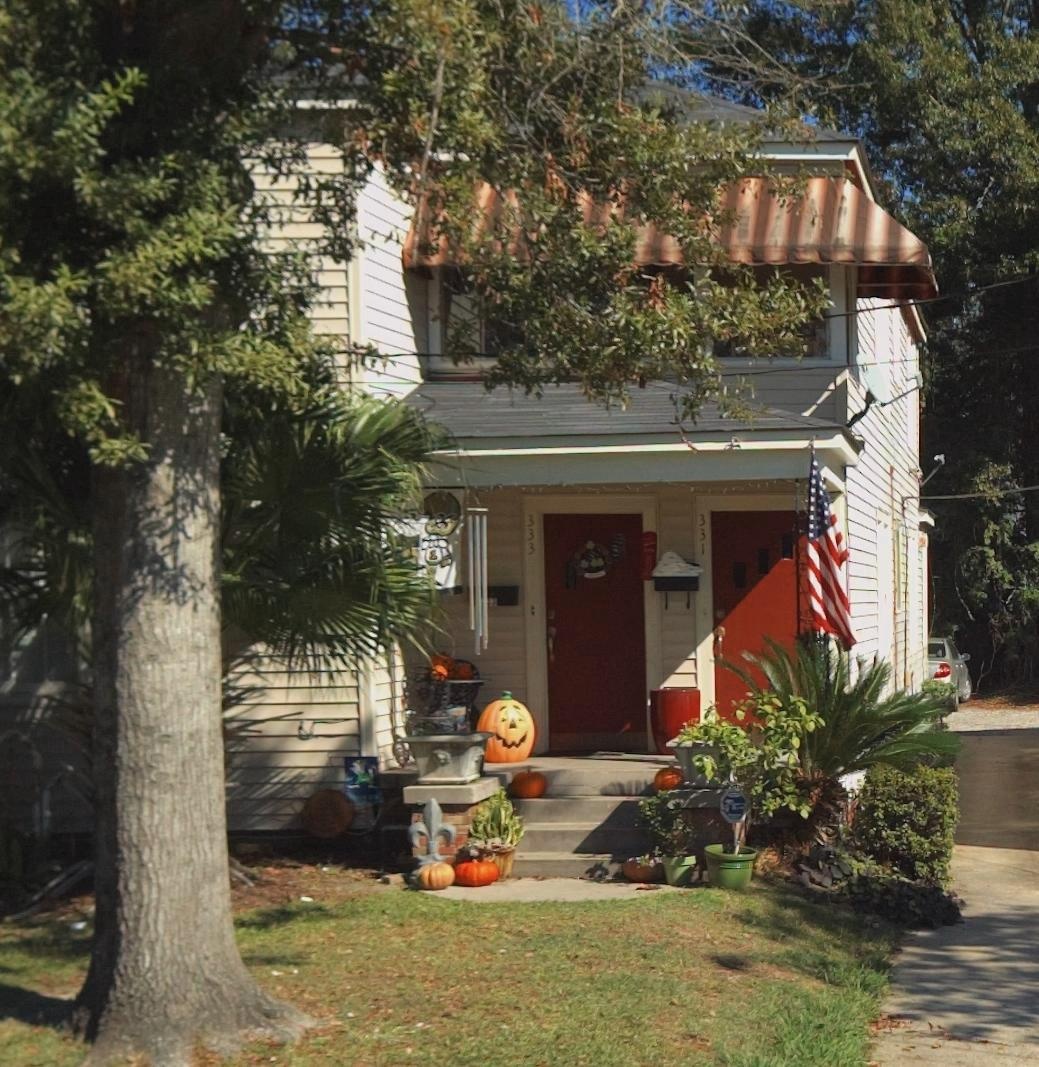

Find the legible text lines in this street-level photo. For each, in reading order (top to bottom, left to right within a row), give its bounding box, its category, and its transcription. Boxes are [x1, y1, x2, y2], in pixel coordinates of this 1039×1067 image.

[525, 512, 537, 557] StreetNumber: 333
[696, 511, 708, 557] StreetNumber: 331